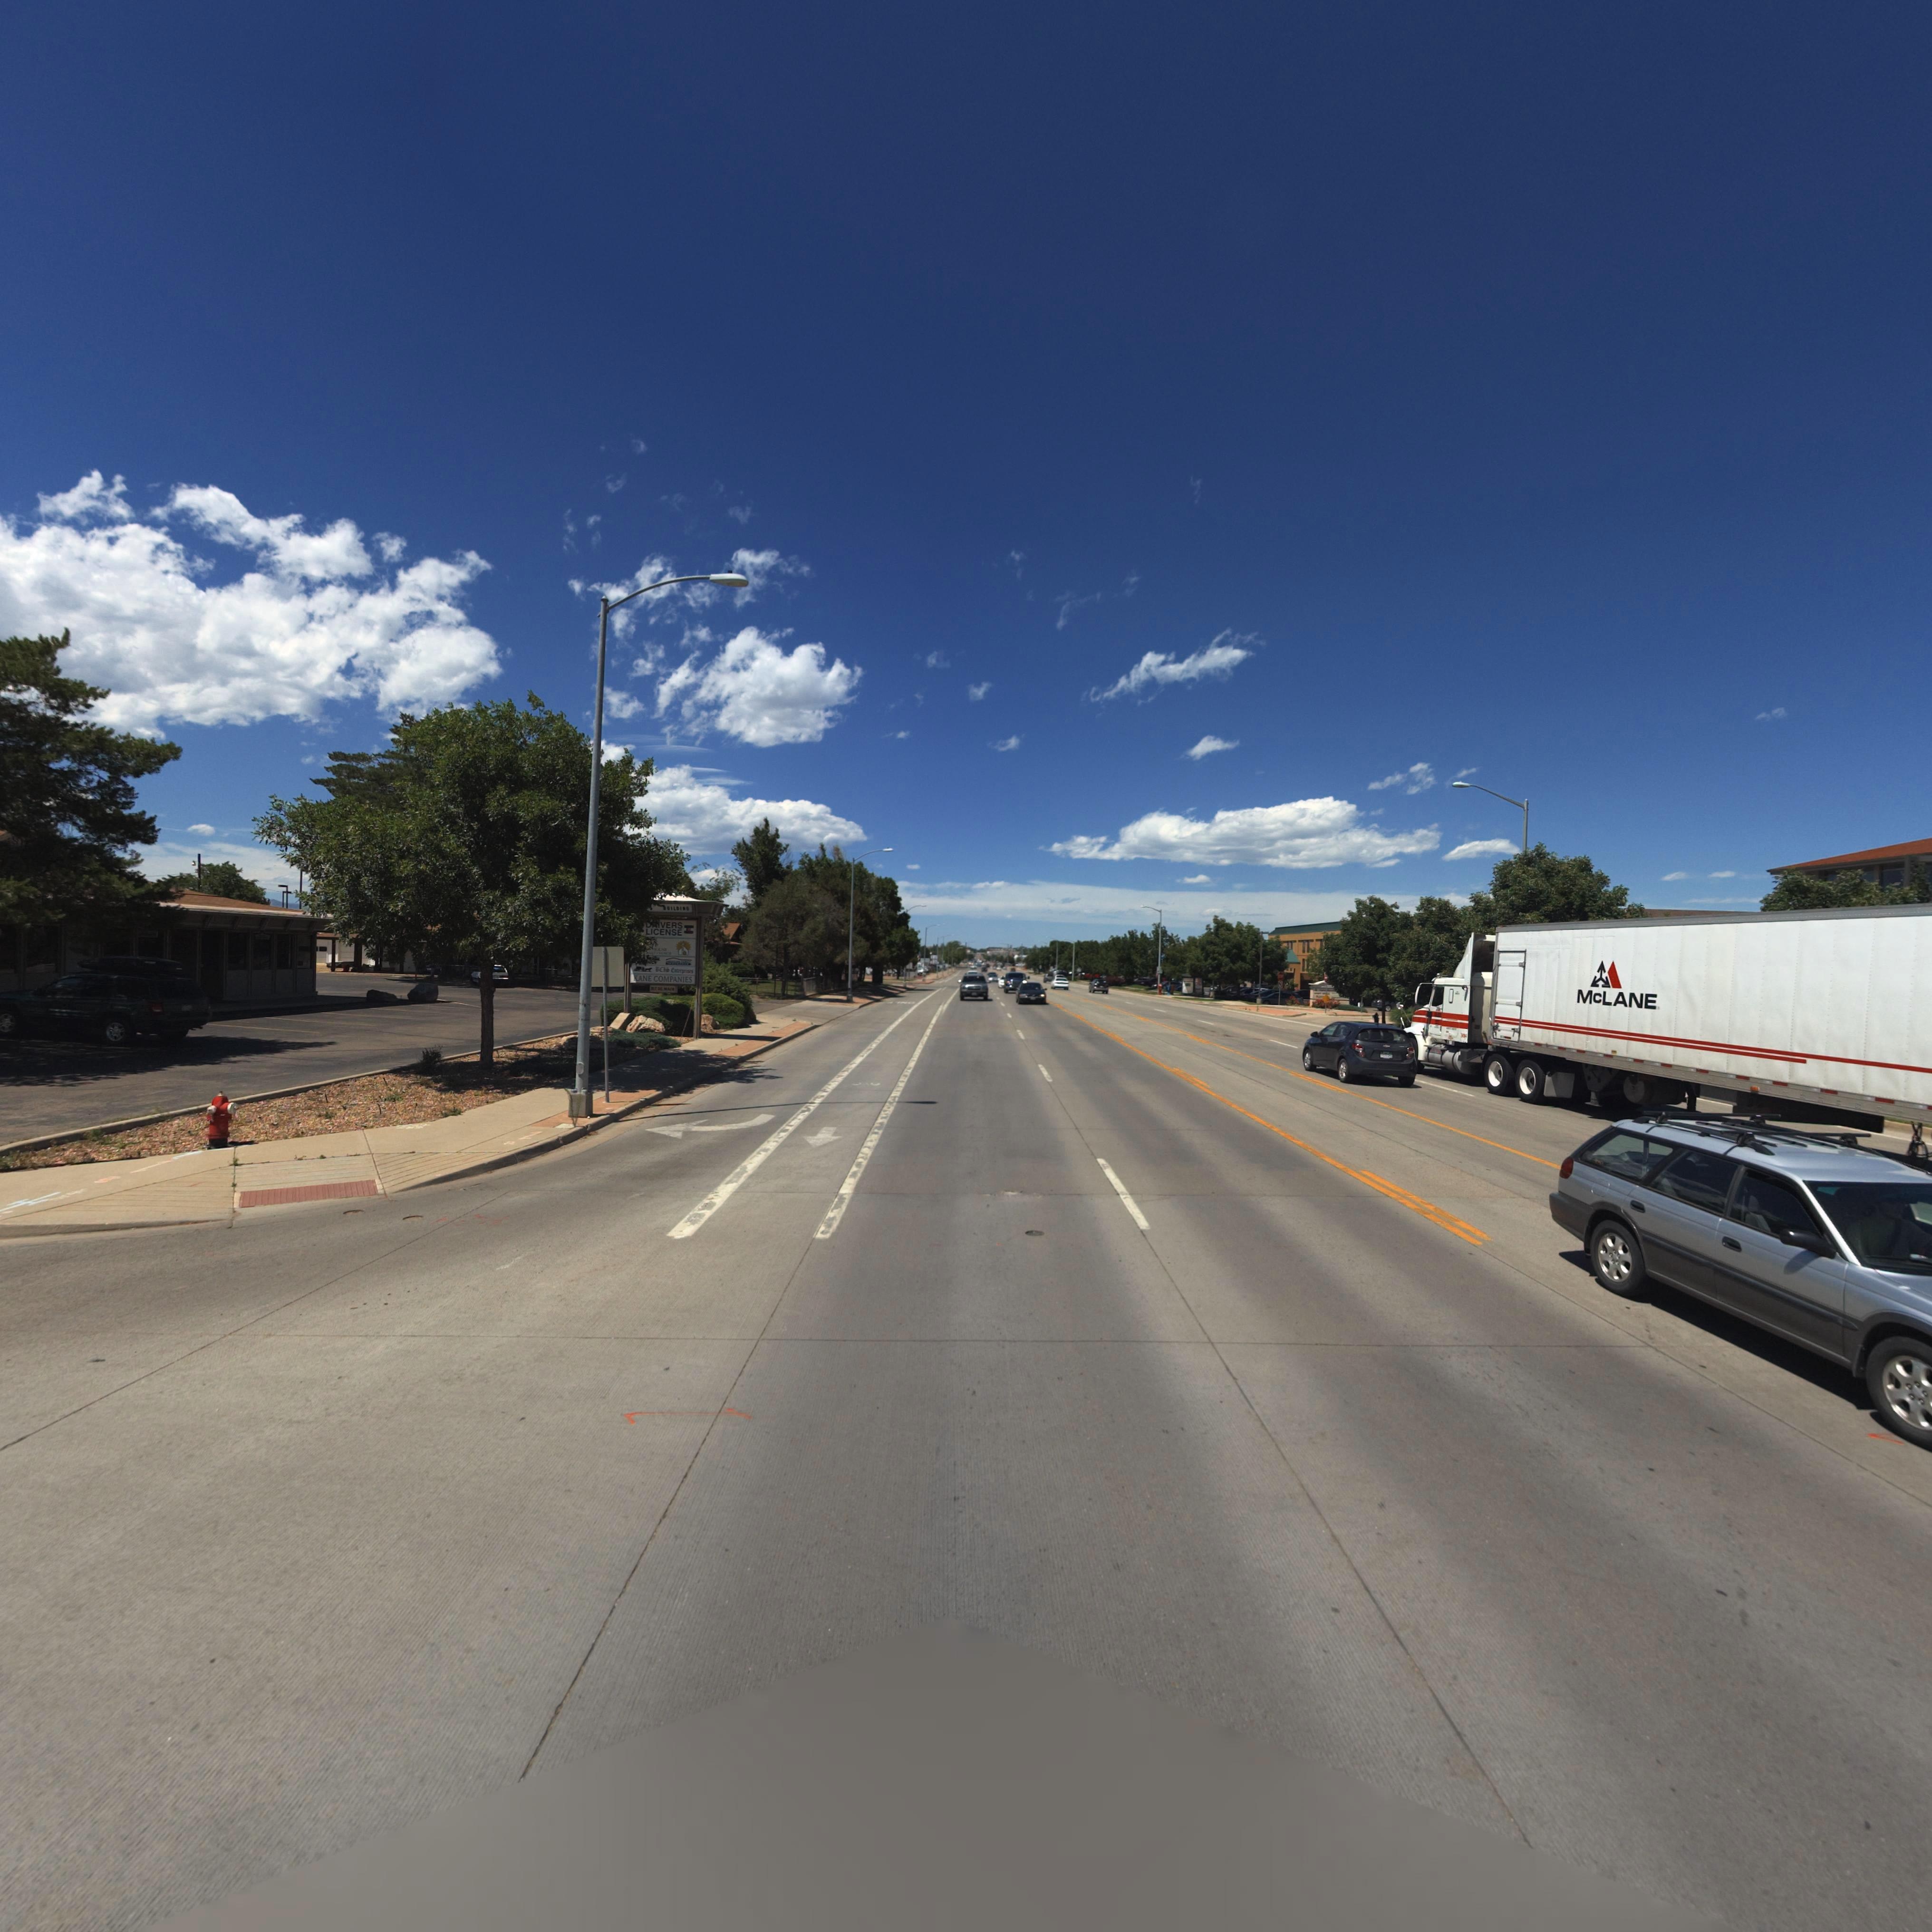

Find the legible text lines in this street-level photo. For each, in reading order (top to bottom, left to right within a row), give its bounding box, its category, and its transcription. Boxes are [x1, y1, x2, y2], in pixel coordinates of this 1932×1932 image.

[649, 947, 668, 952] BusinessName: **US*
[636, 951, 672, 955] BusinessName: *****A** ****CH
[655, 966, 693, 974] BusinessName: *CI* ****r**is**
[633, 975, 692, 983] BusinessName: KANE COMPANIES
[650, 986, 657, 991] BusinessName: *17
[657, 986, 675, 991] BusinessName: S*. M*IN